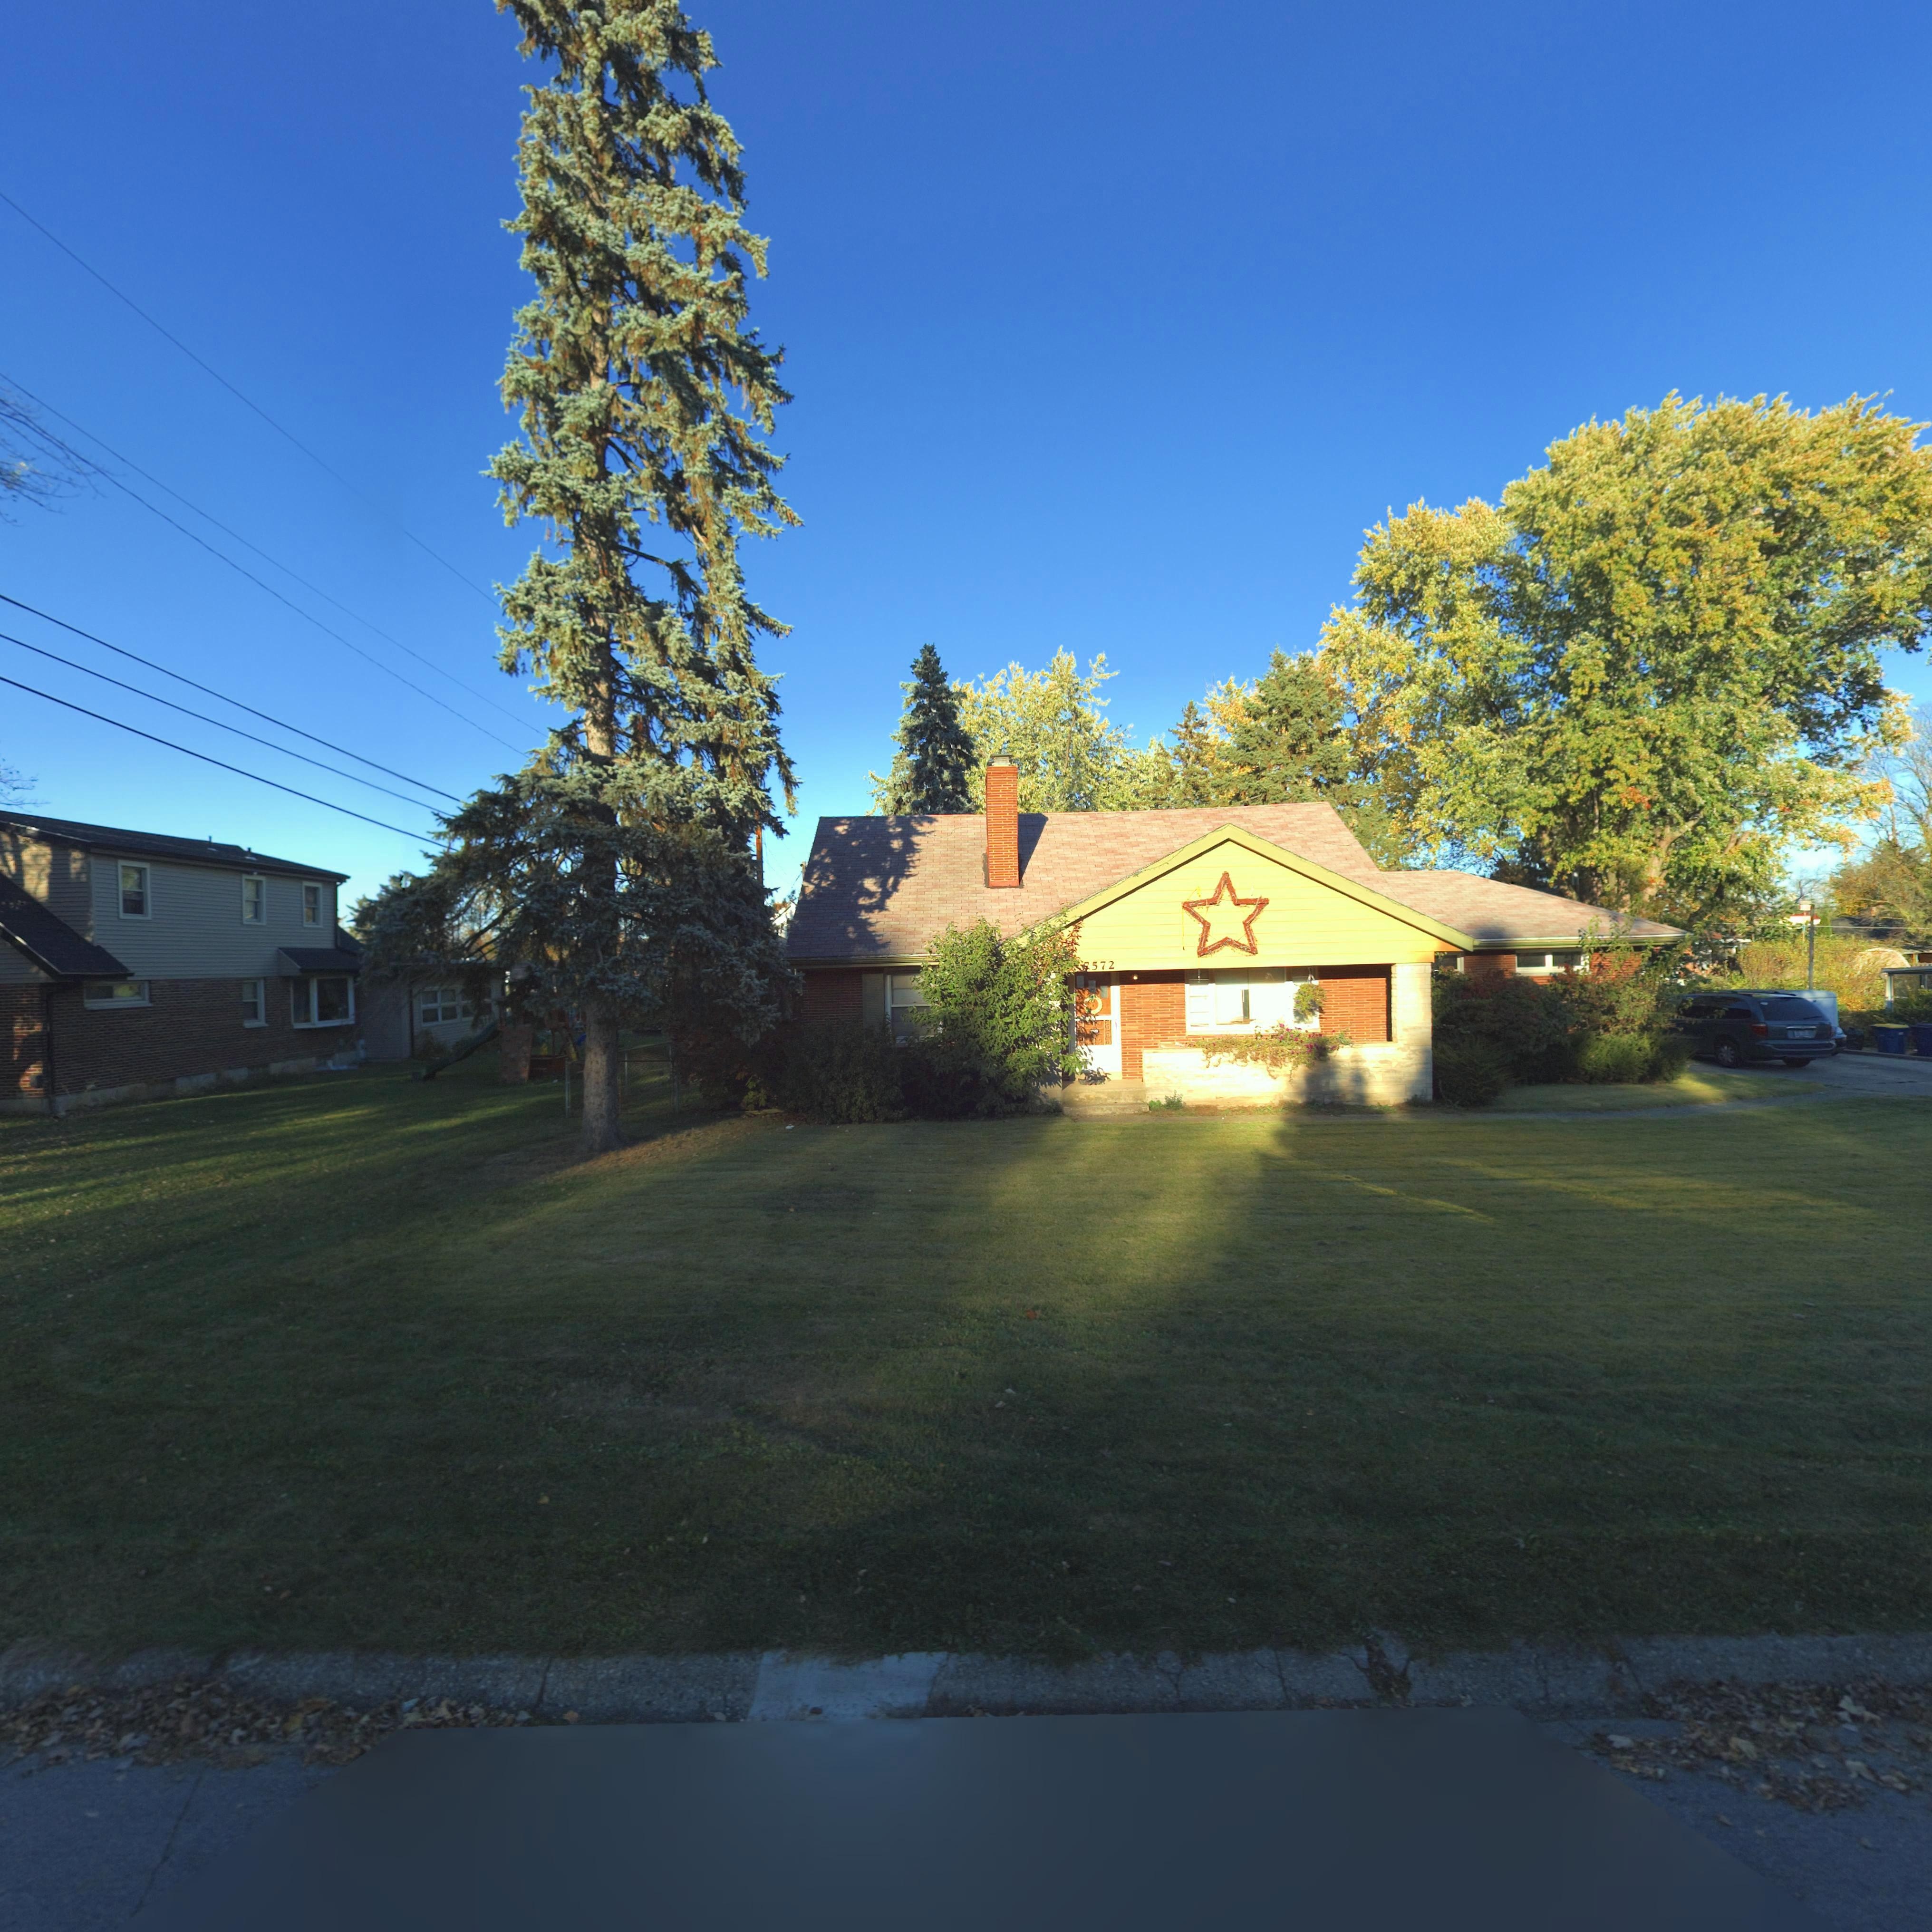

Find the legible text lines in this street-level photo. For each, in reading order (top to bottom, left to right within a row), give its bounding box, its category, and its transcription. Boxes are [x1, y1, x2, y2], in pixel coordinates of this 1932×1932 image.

[1082, 959, 1117, 973] StreetNumber: 7572